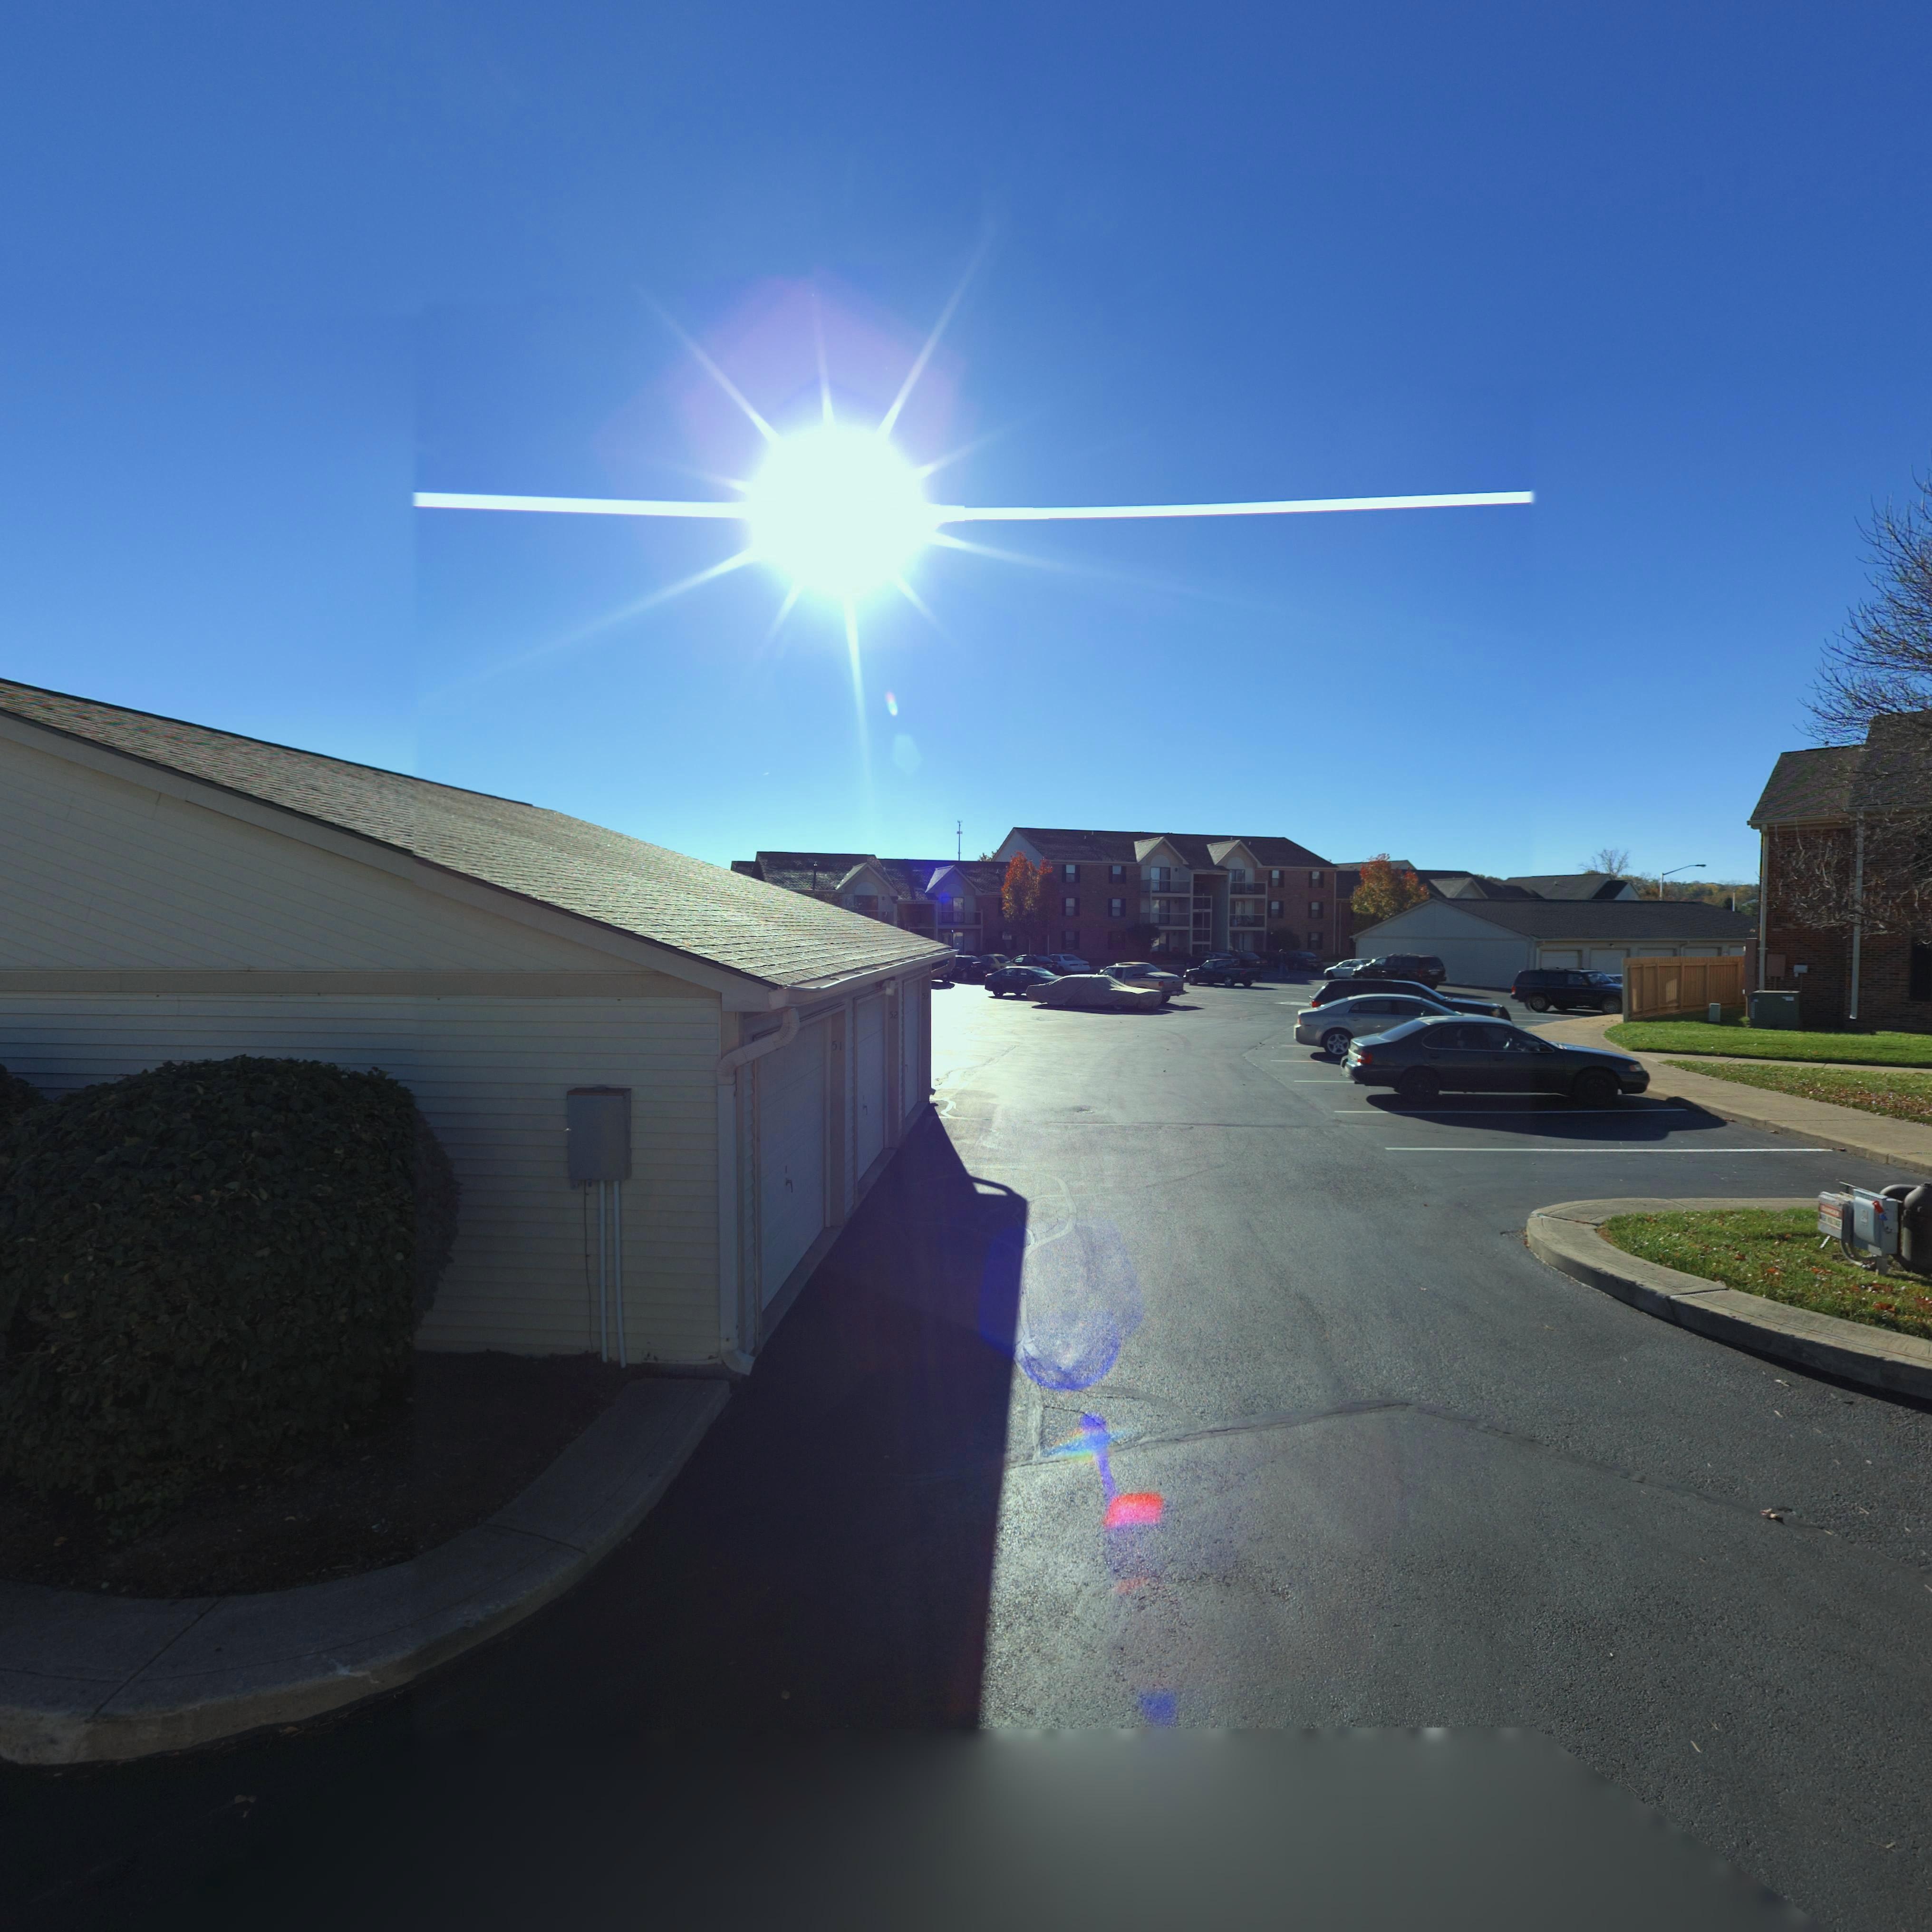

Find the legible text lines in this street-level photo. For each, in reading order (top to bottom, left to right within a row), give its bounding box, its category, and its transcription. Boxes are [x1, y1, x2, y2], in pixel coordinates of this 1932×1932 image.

[921, 992, 929, 999] StreetNumber: 53
[889, 1011, 898, 1019] StreetNumber: 52
[830, 1039, 842, 1051] StreetNumber: 51